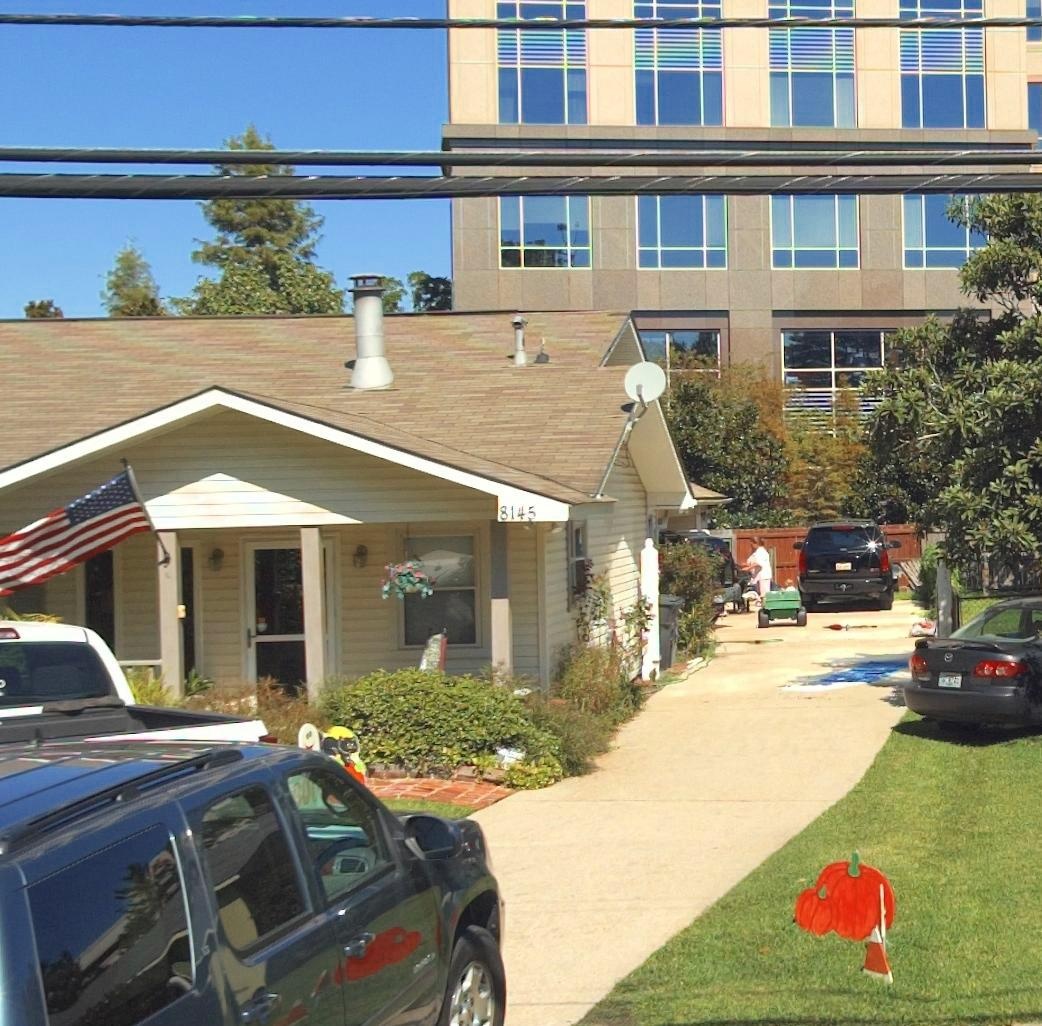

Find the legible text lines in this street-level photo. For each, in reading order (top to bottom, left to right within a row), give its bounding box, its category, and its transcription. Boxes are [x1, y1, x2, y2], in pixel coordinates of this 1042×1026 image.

[497, 504, 538, 522] StreetNumber: 8145